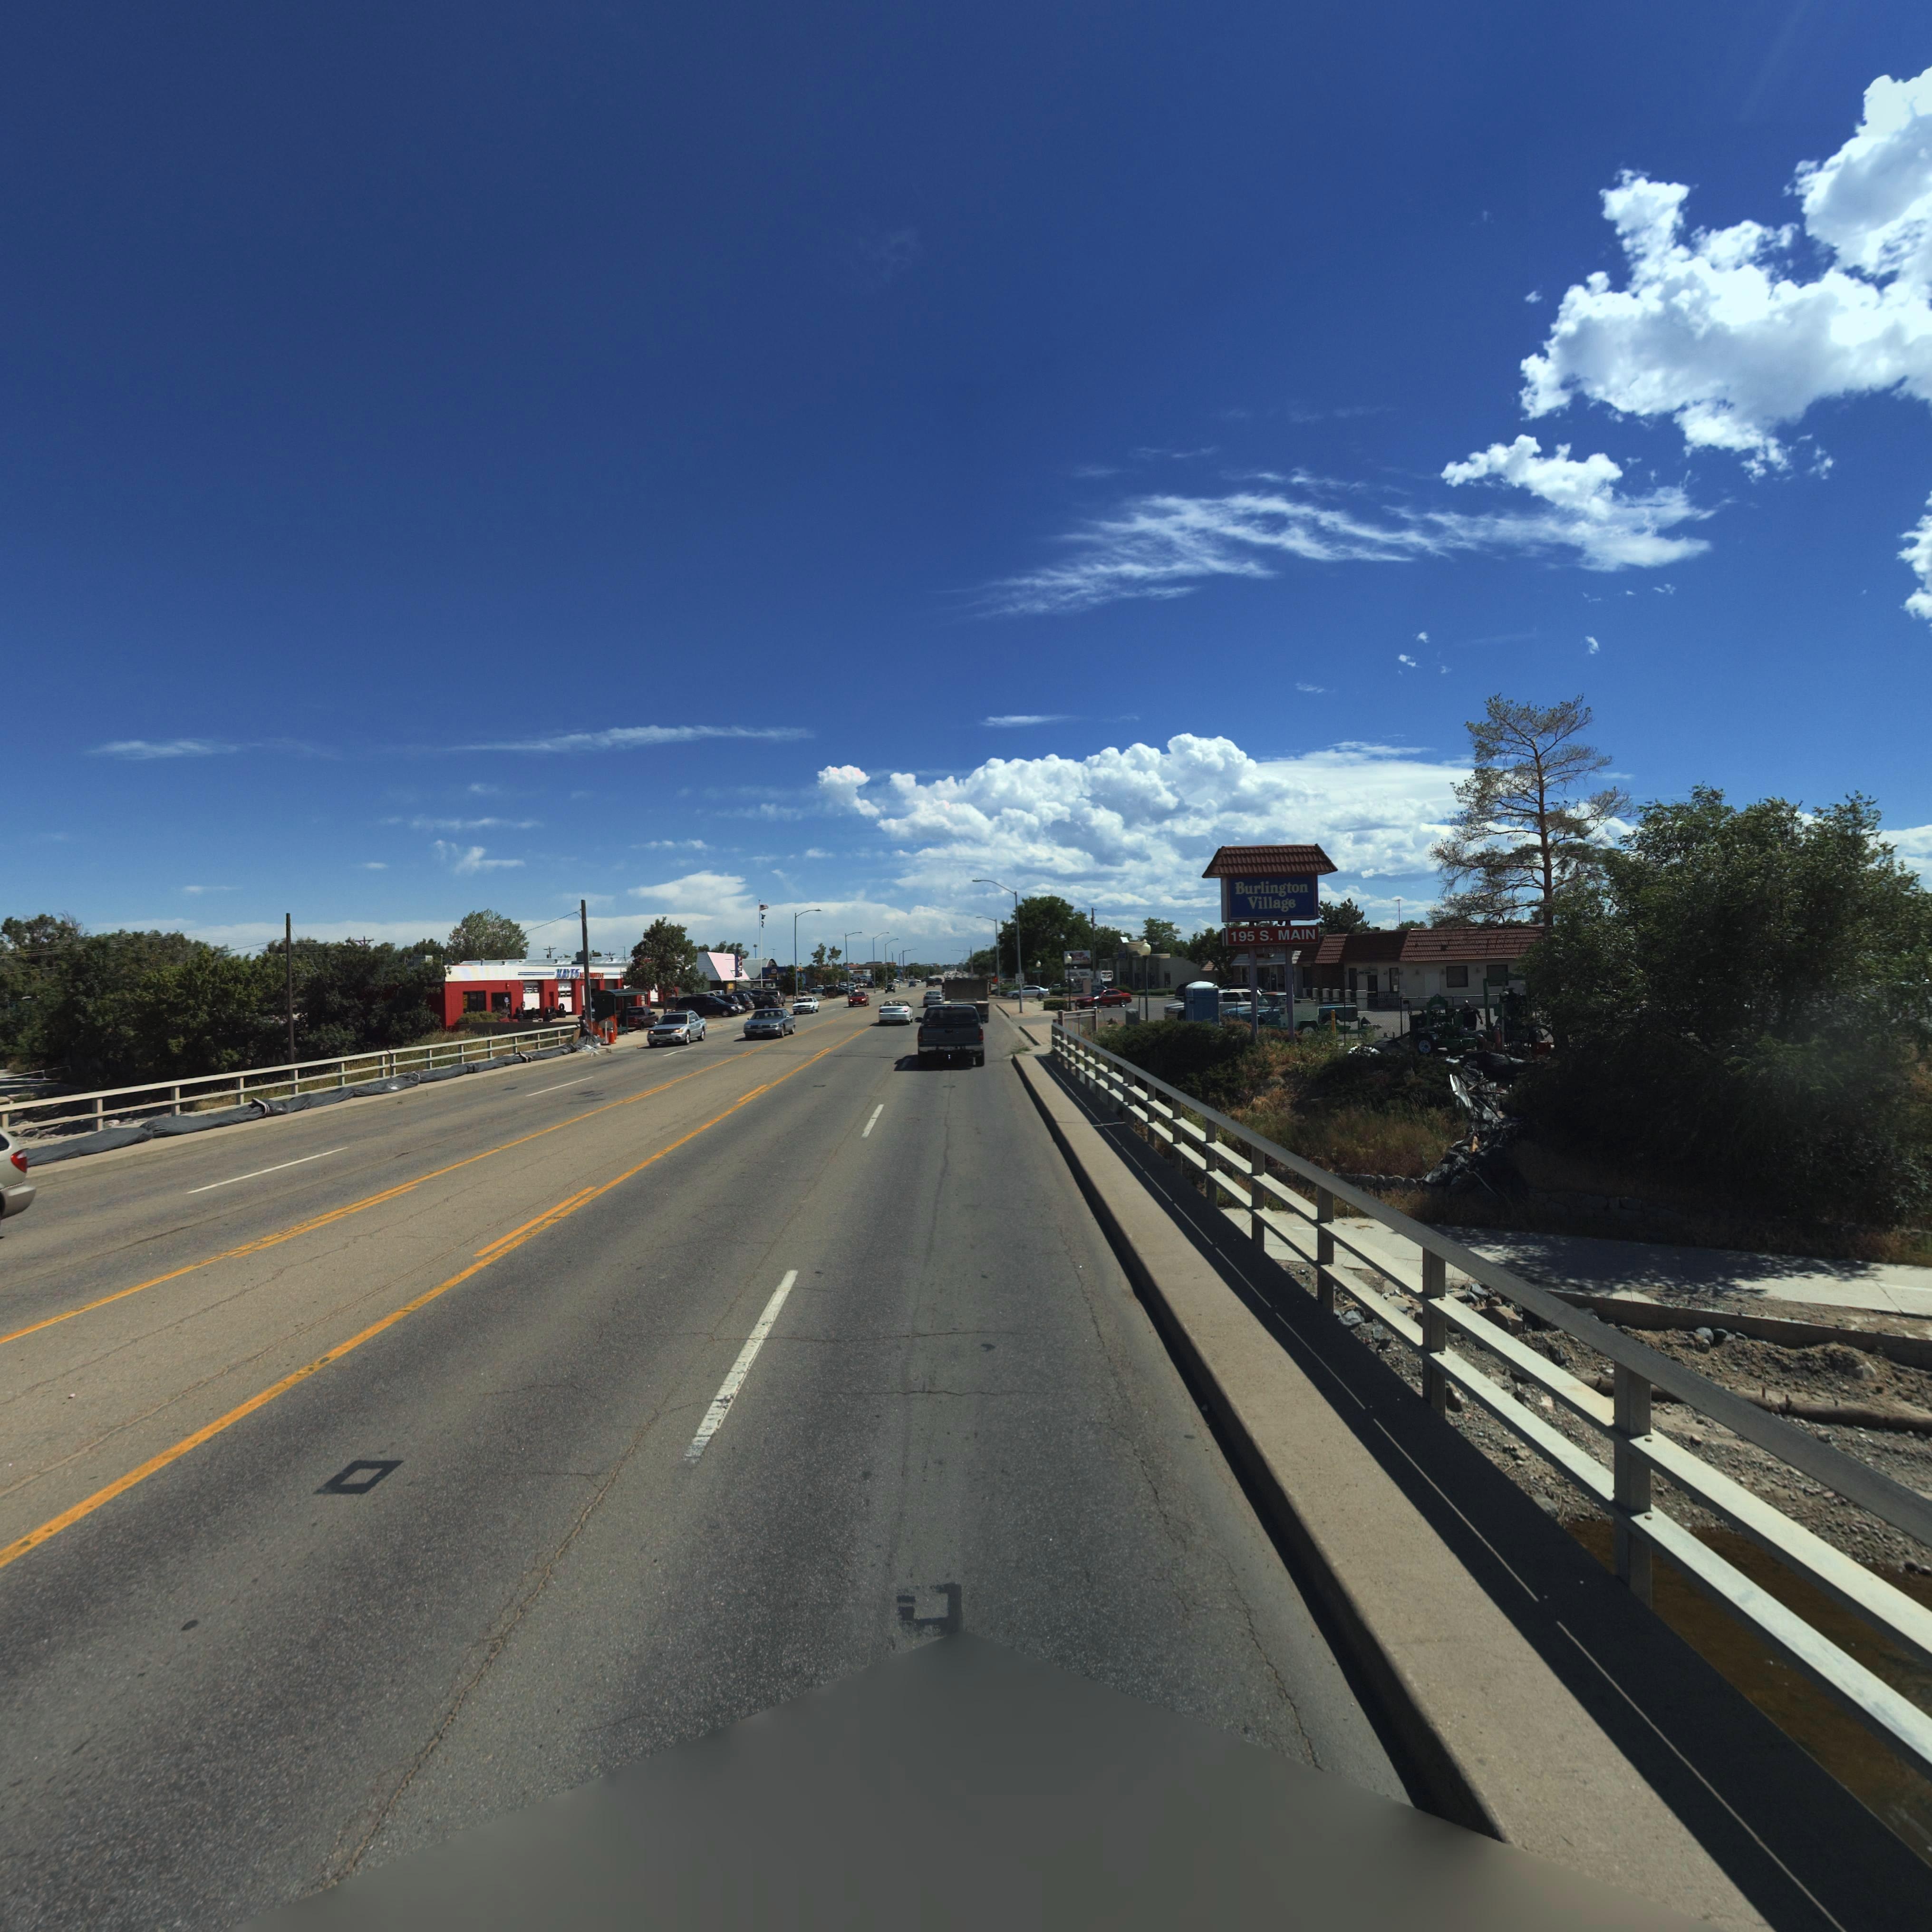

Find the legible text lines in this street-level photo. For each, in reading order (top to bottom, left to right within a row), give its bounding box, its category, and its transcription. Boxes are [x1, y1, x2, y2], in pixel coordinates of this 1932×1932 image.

[1230, 930, 1255, 942] StreetNumber: 195
[1259, 928, 1315, 942] StreetName: S. MAIN
[1261, 945, 1281, 953] StreetNumber: 195
[556, 968, 604, 978] BusinessName: HAYES A*********